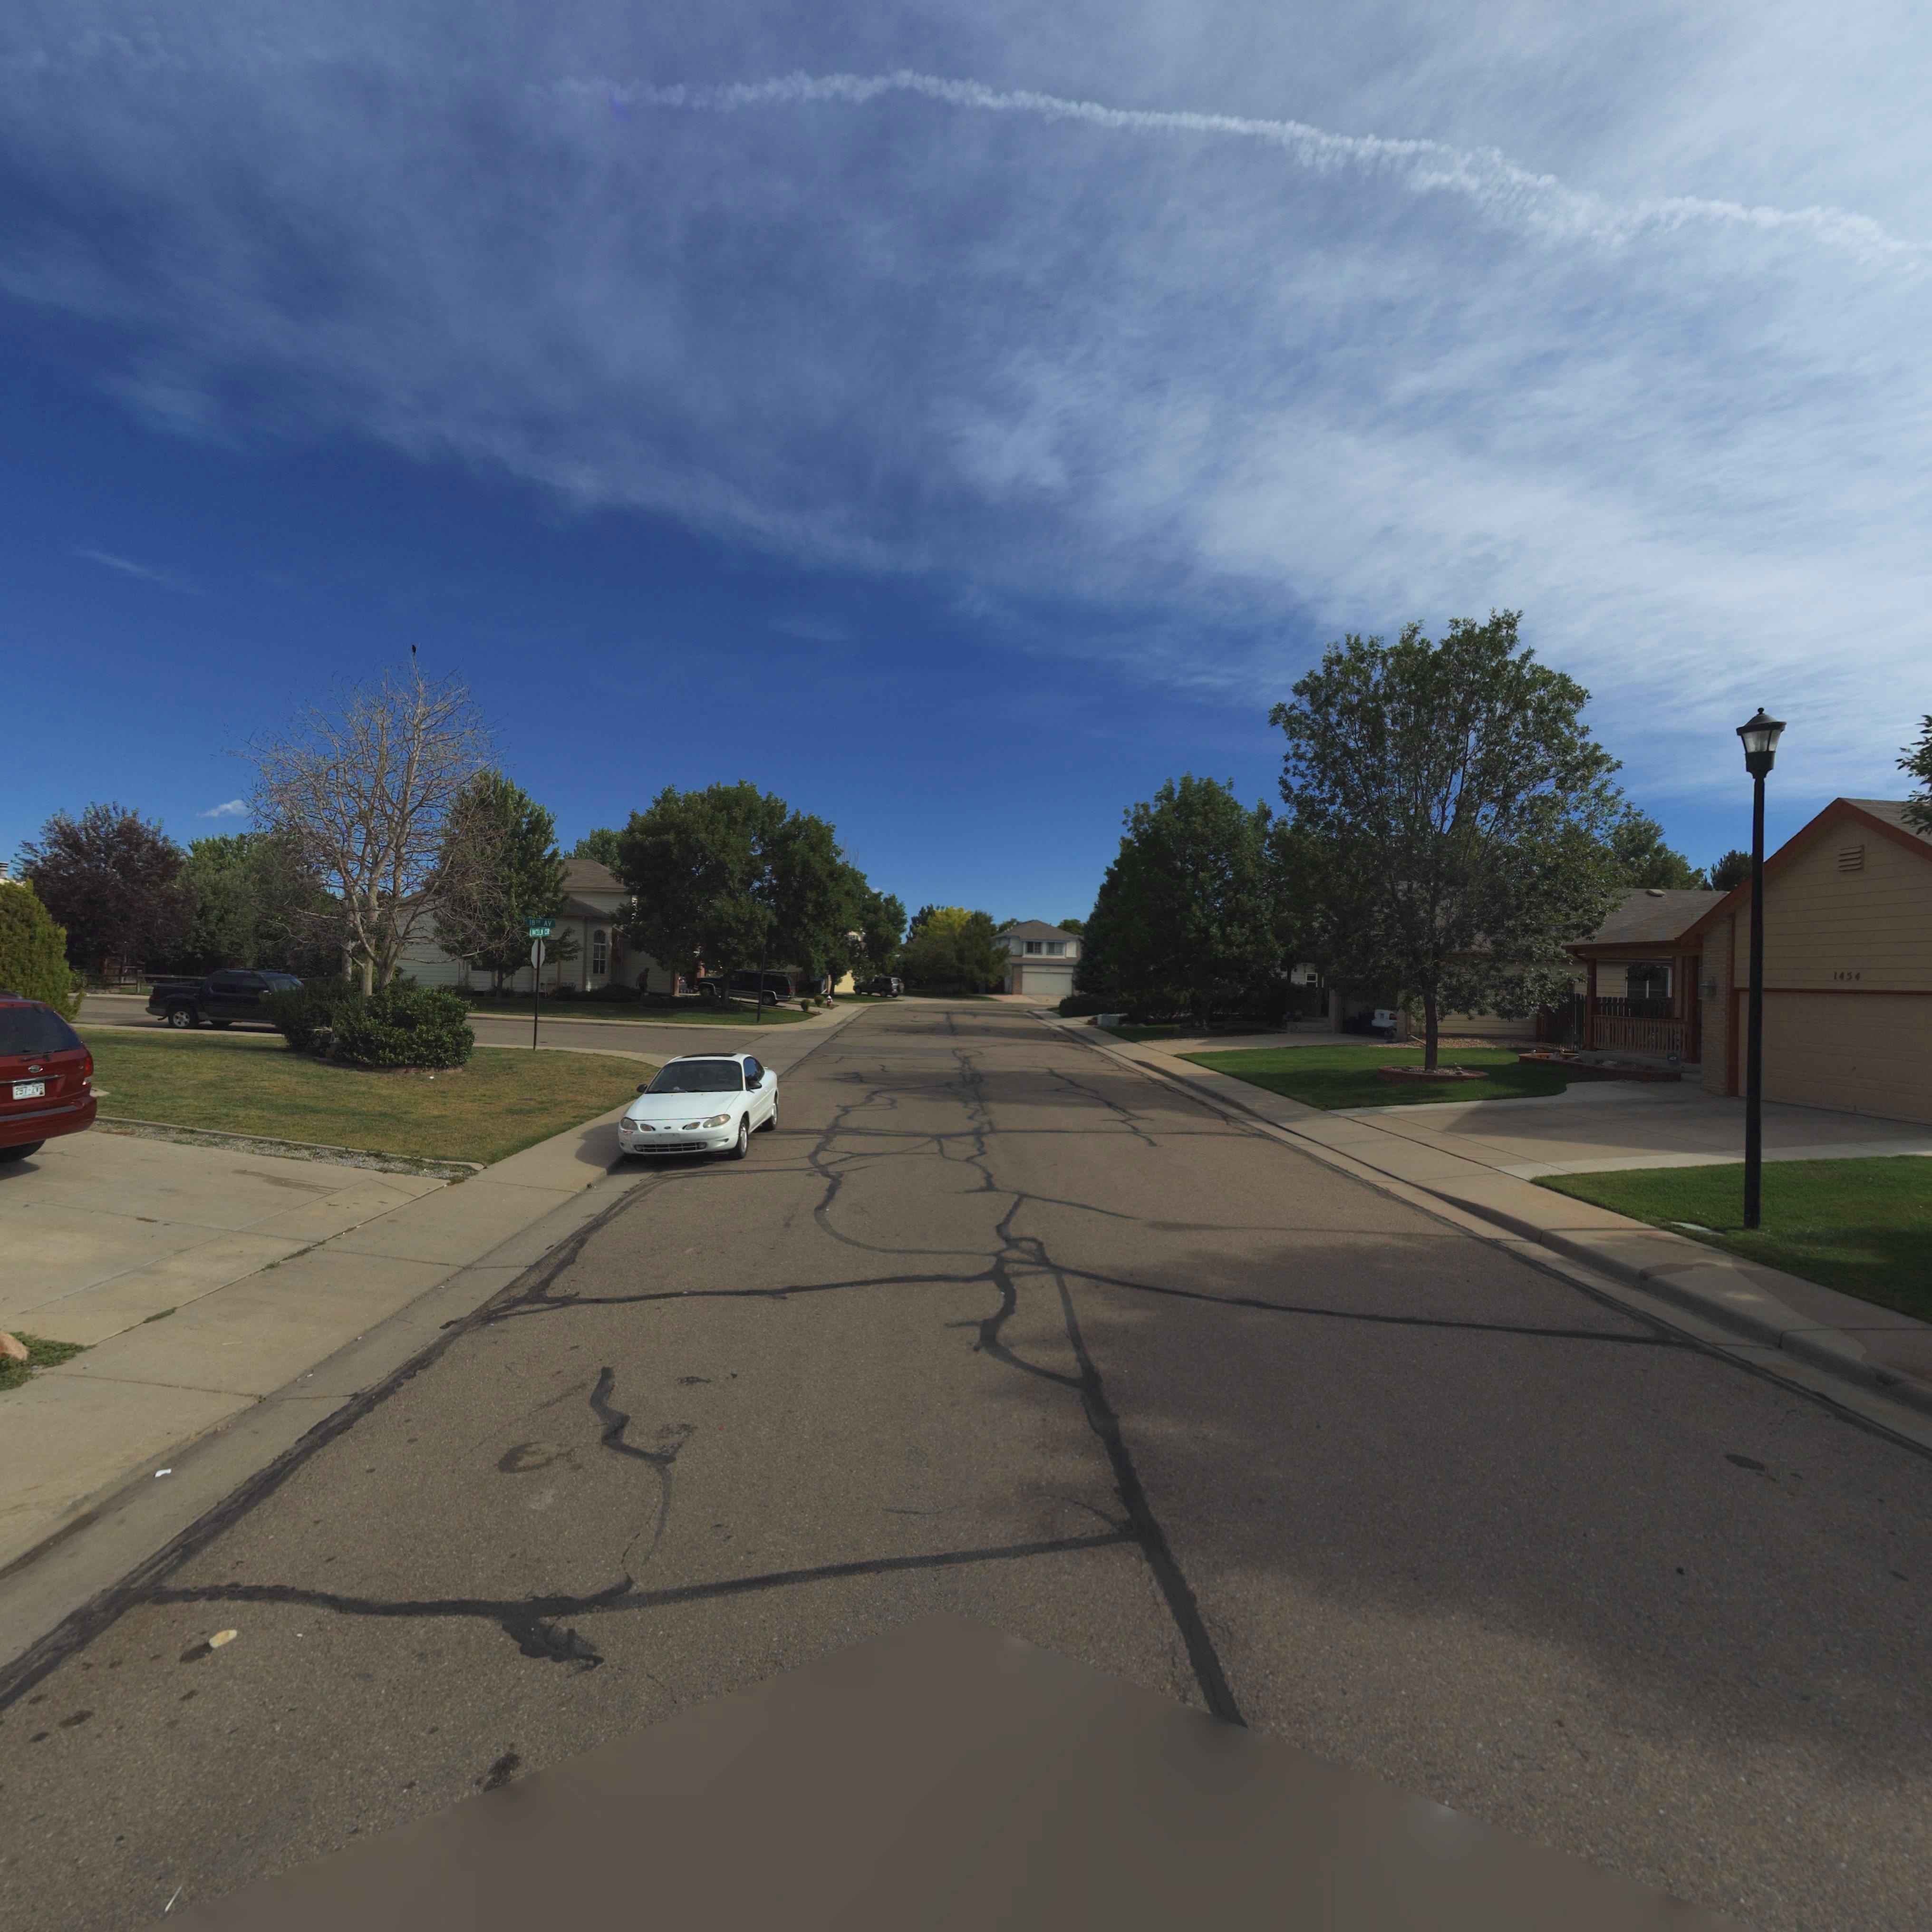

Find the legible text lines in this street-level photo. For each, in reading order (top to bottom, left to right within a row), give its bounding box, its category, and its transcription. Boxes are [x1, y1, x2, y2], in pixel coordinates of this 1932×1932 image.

[529, 919, 552, 926] StreetName: 18TH AV
[529, 928, 550, 937] StreetName: LINCOLN CIR
[1833, 971, 1861, 981] StreetNumber: 1454